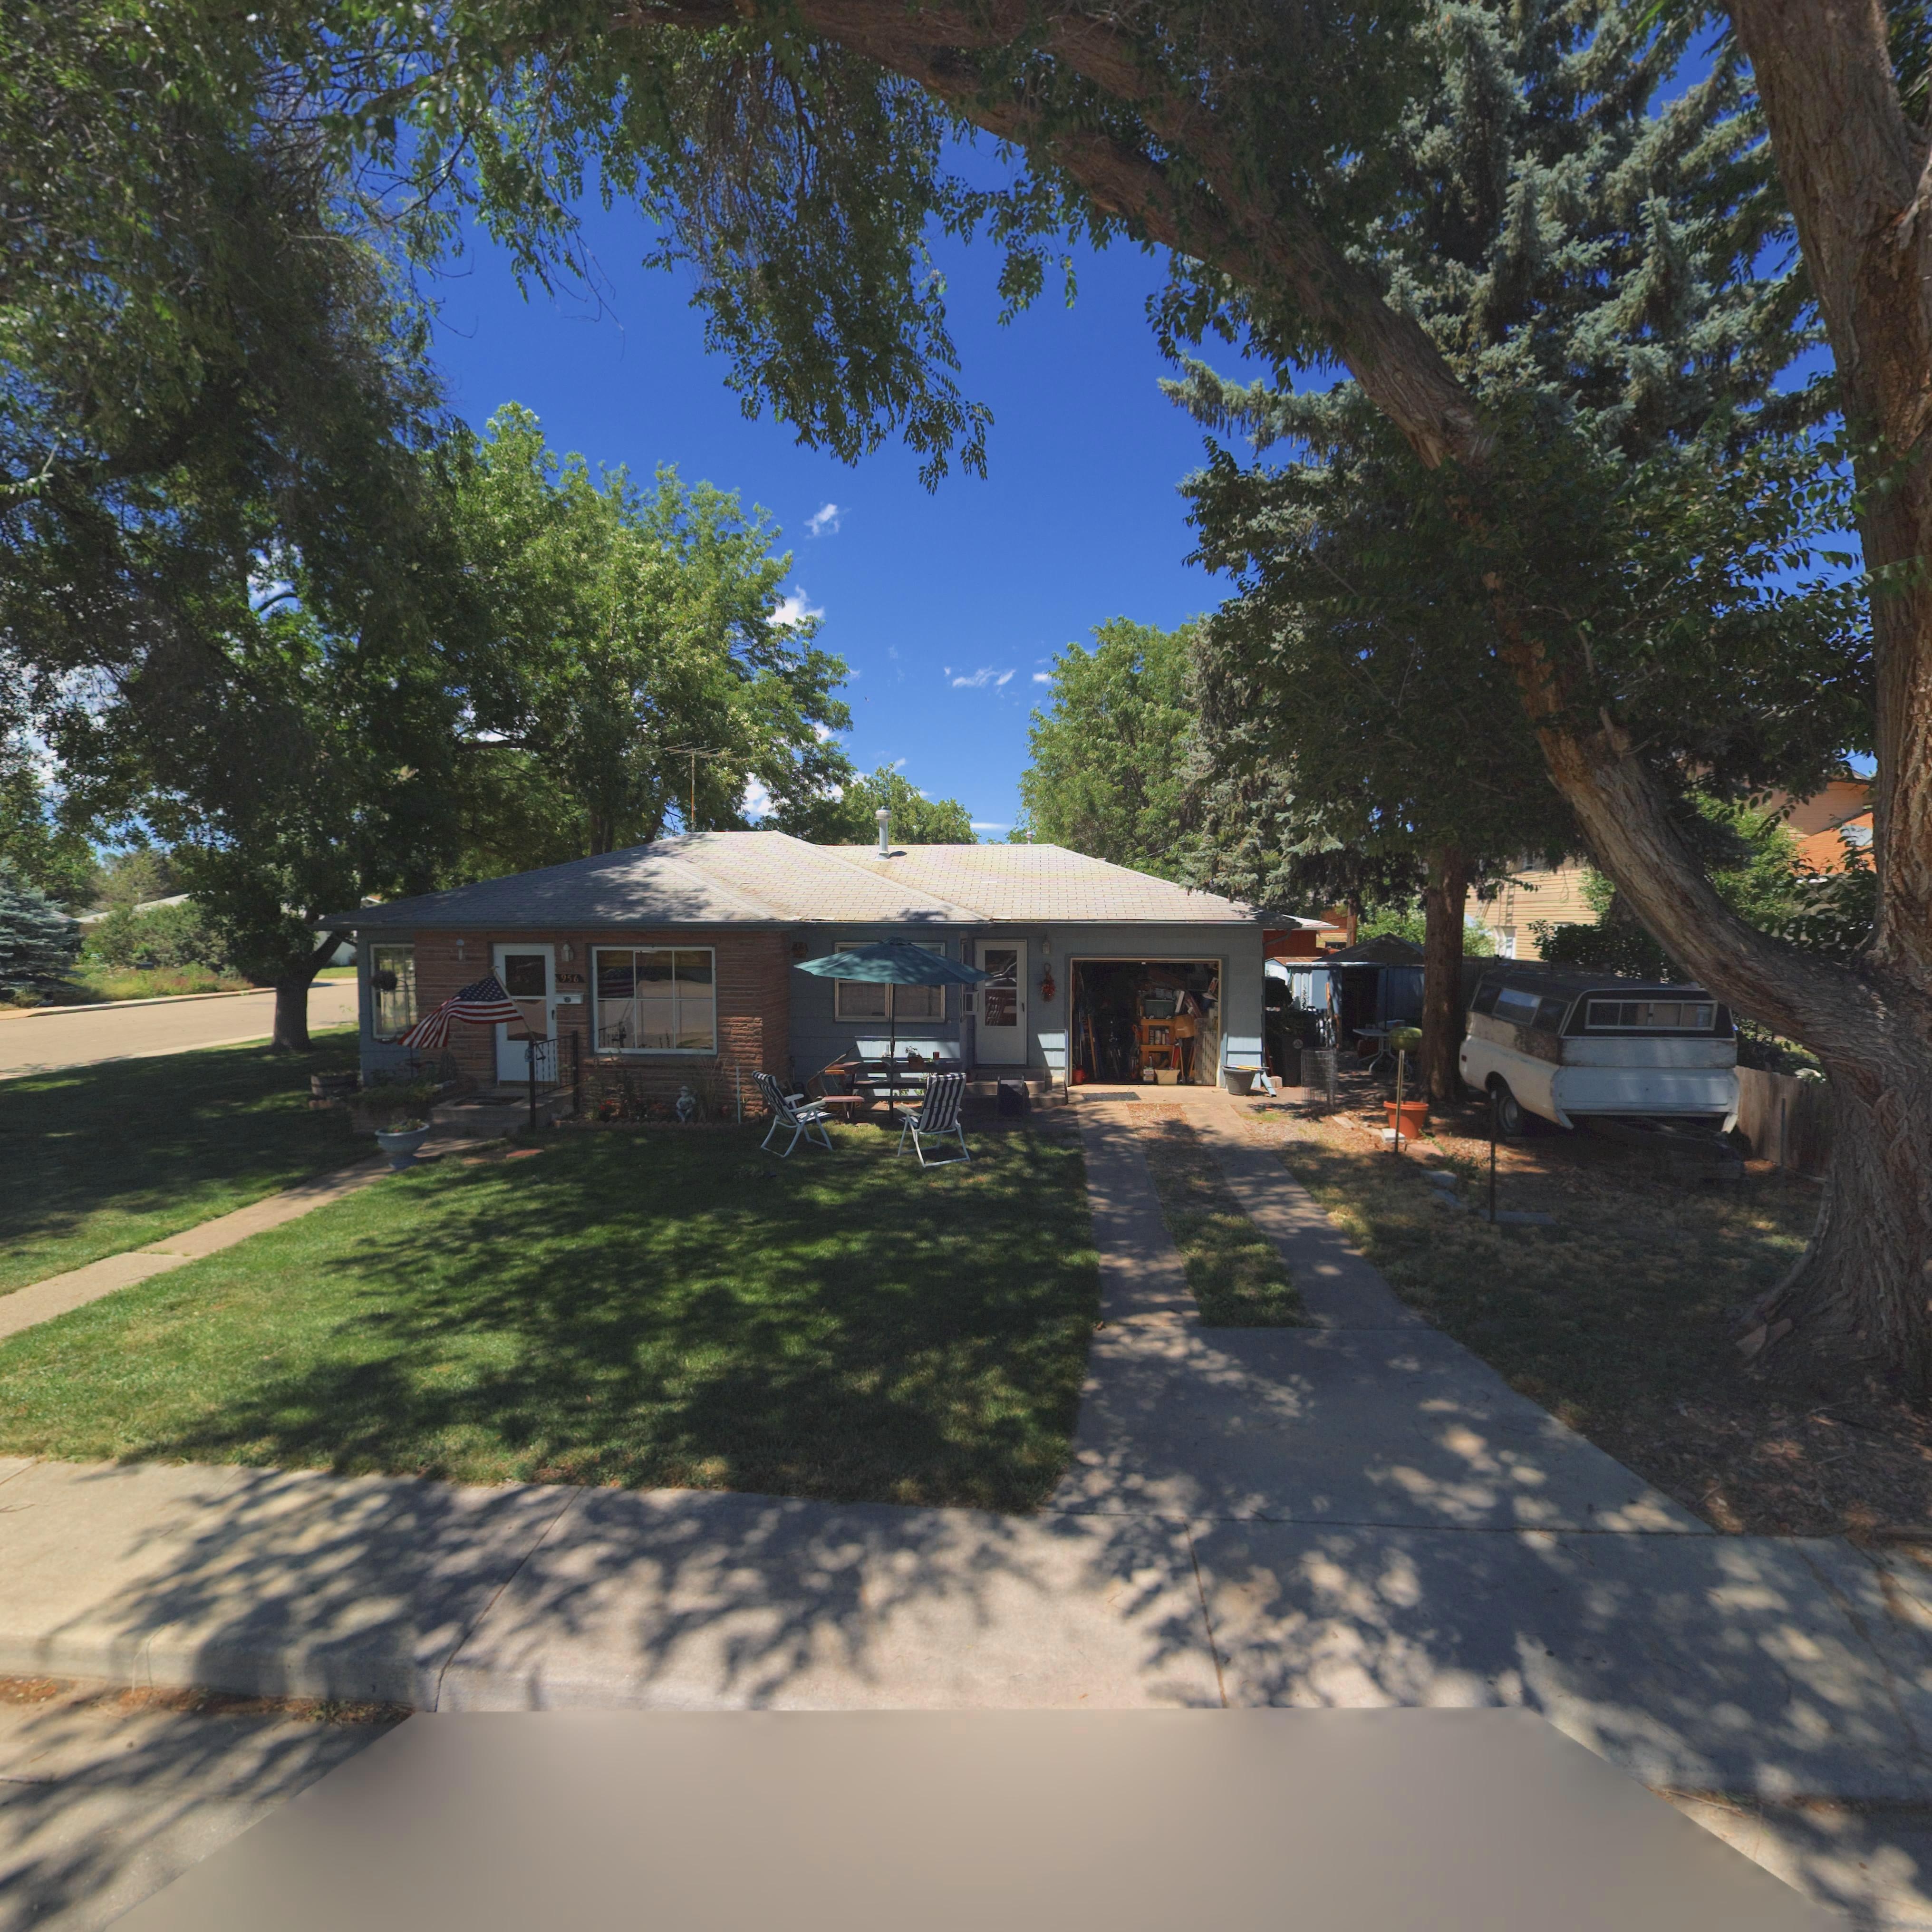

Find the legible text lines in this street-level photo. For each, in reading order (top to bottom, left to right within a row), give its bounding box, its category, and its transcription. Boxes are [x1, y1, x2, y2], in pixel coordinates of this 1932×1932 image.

[560, 974, 580, 983] StreetNumber: 956